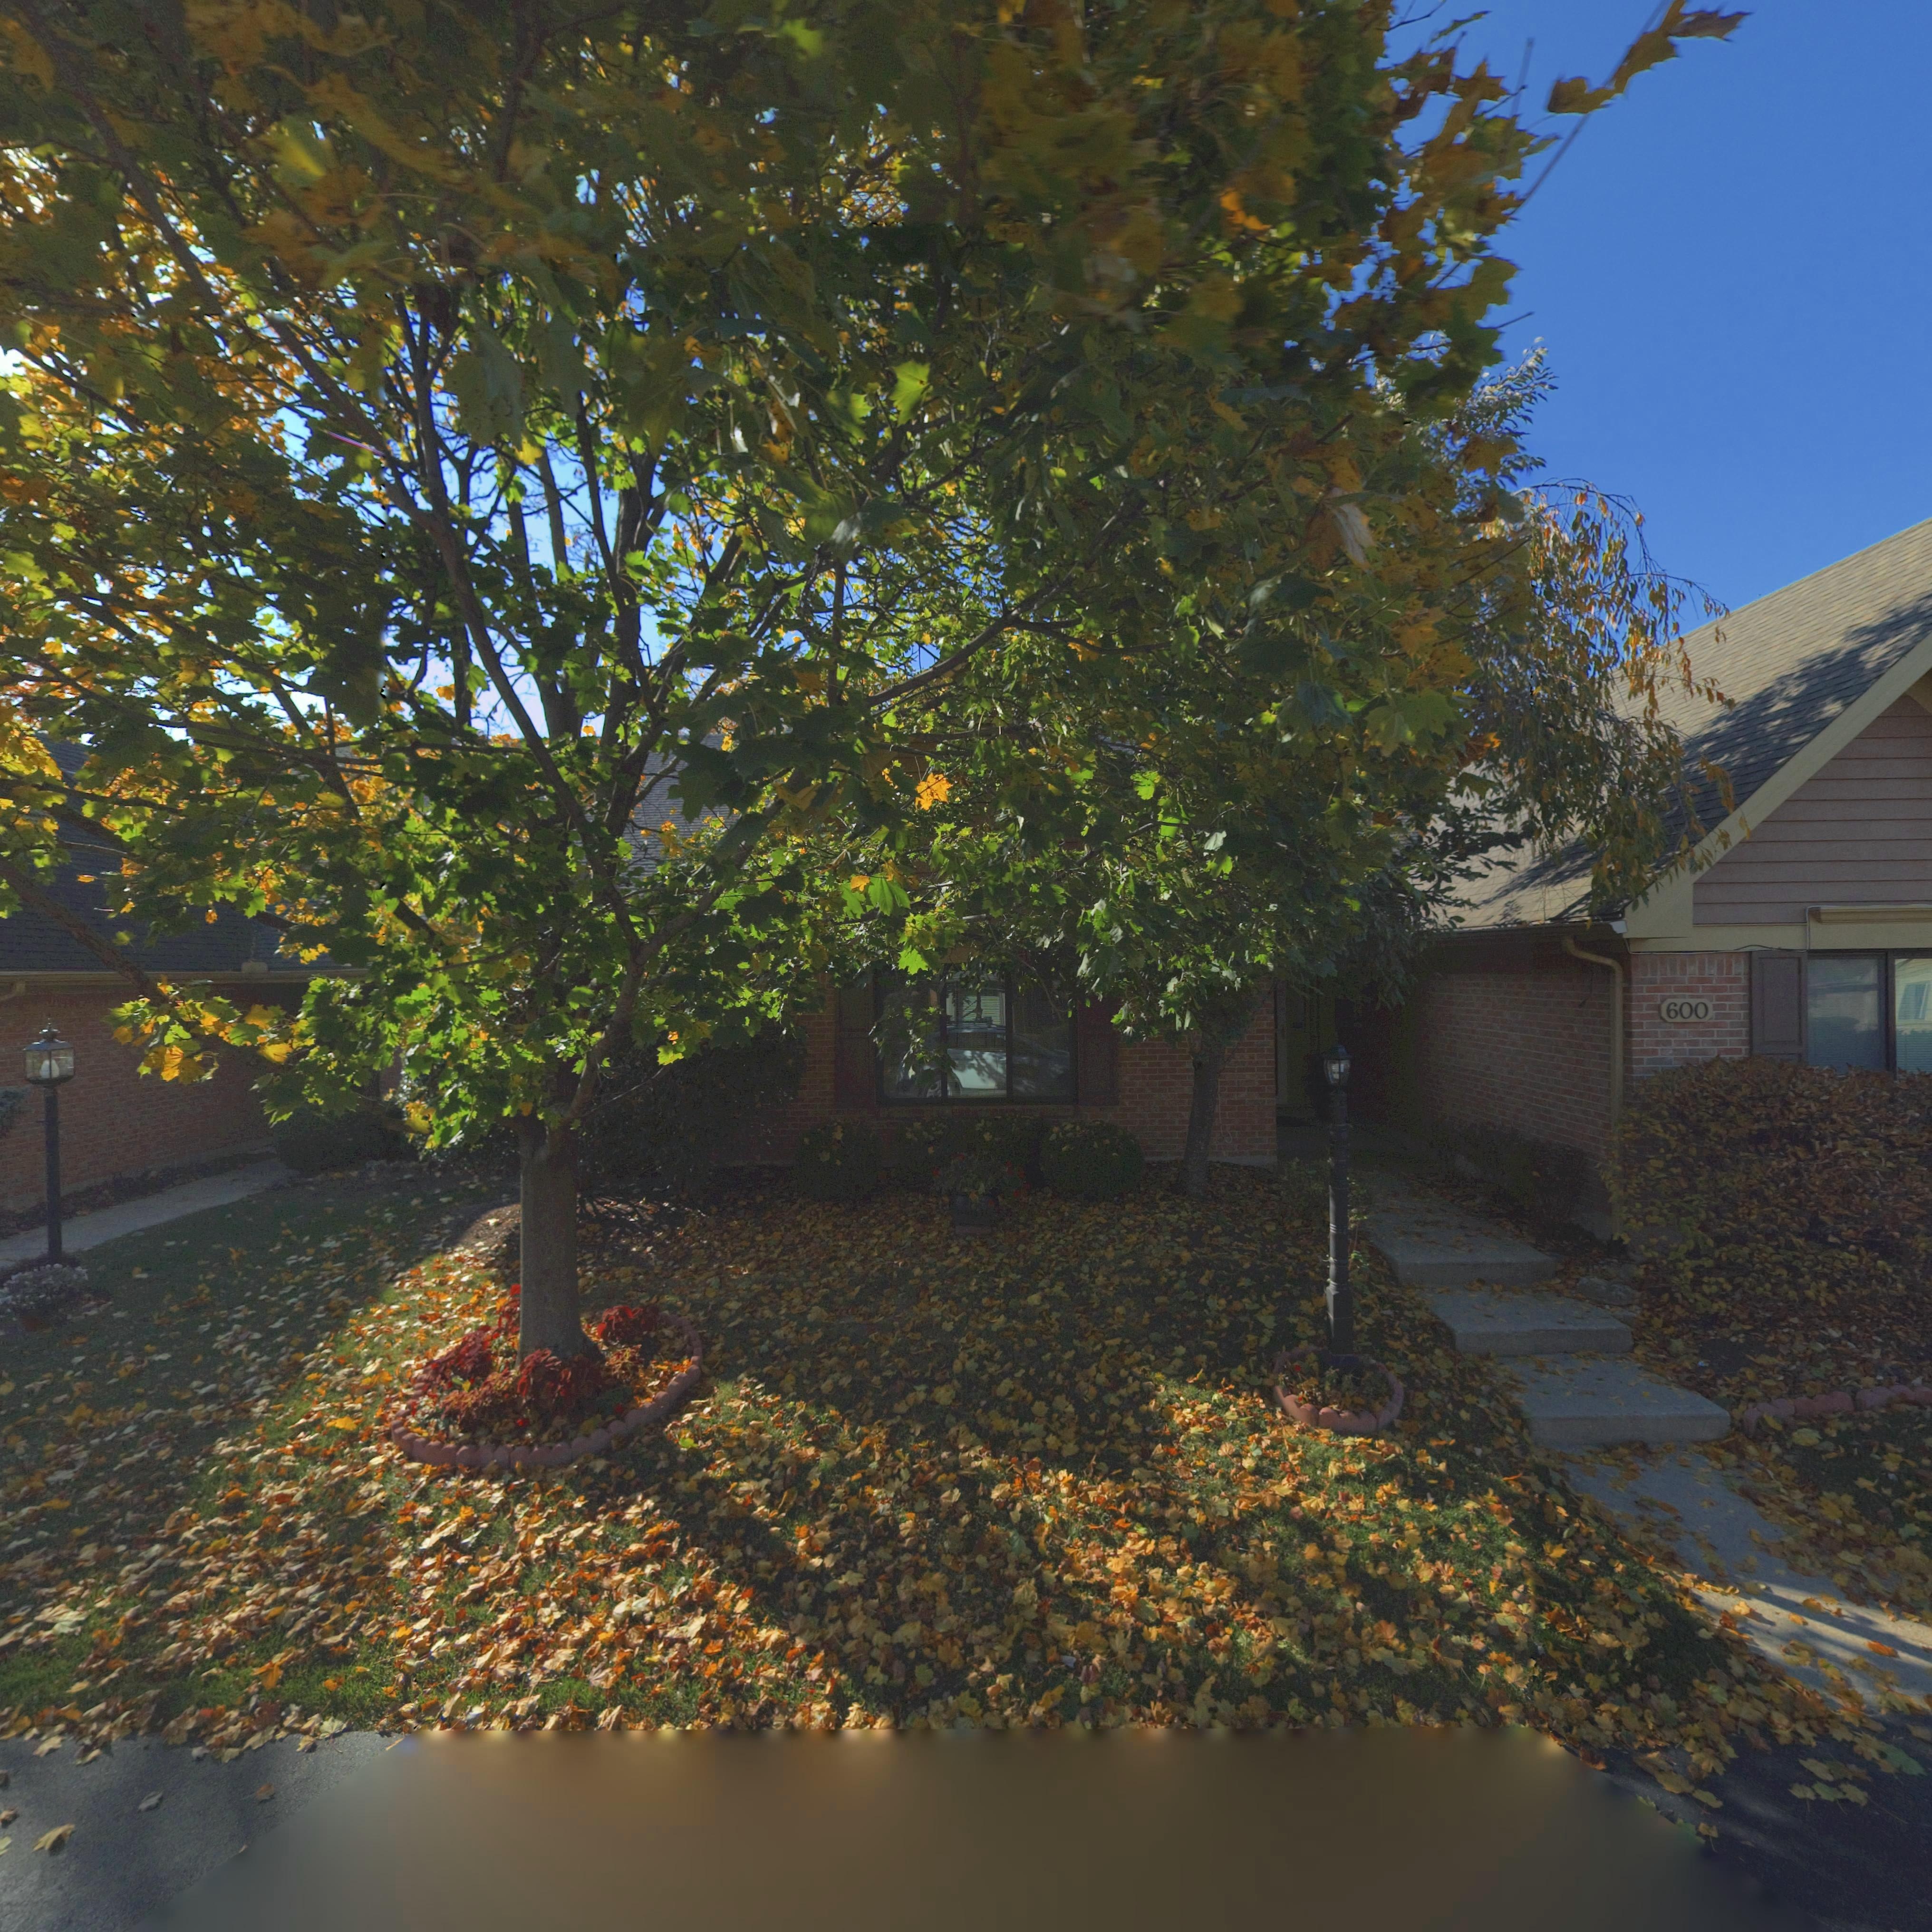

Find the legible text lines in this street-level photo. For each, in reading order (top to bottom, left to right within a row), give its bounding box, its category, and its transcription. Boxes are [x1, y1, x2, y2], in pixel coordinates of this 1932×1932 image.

[1665, 1000, 1711, 1020] StreetNumber: 600